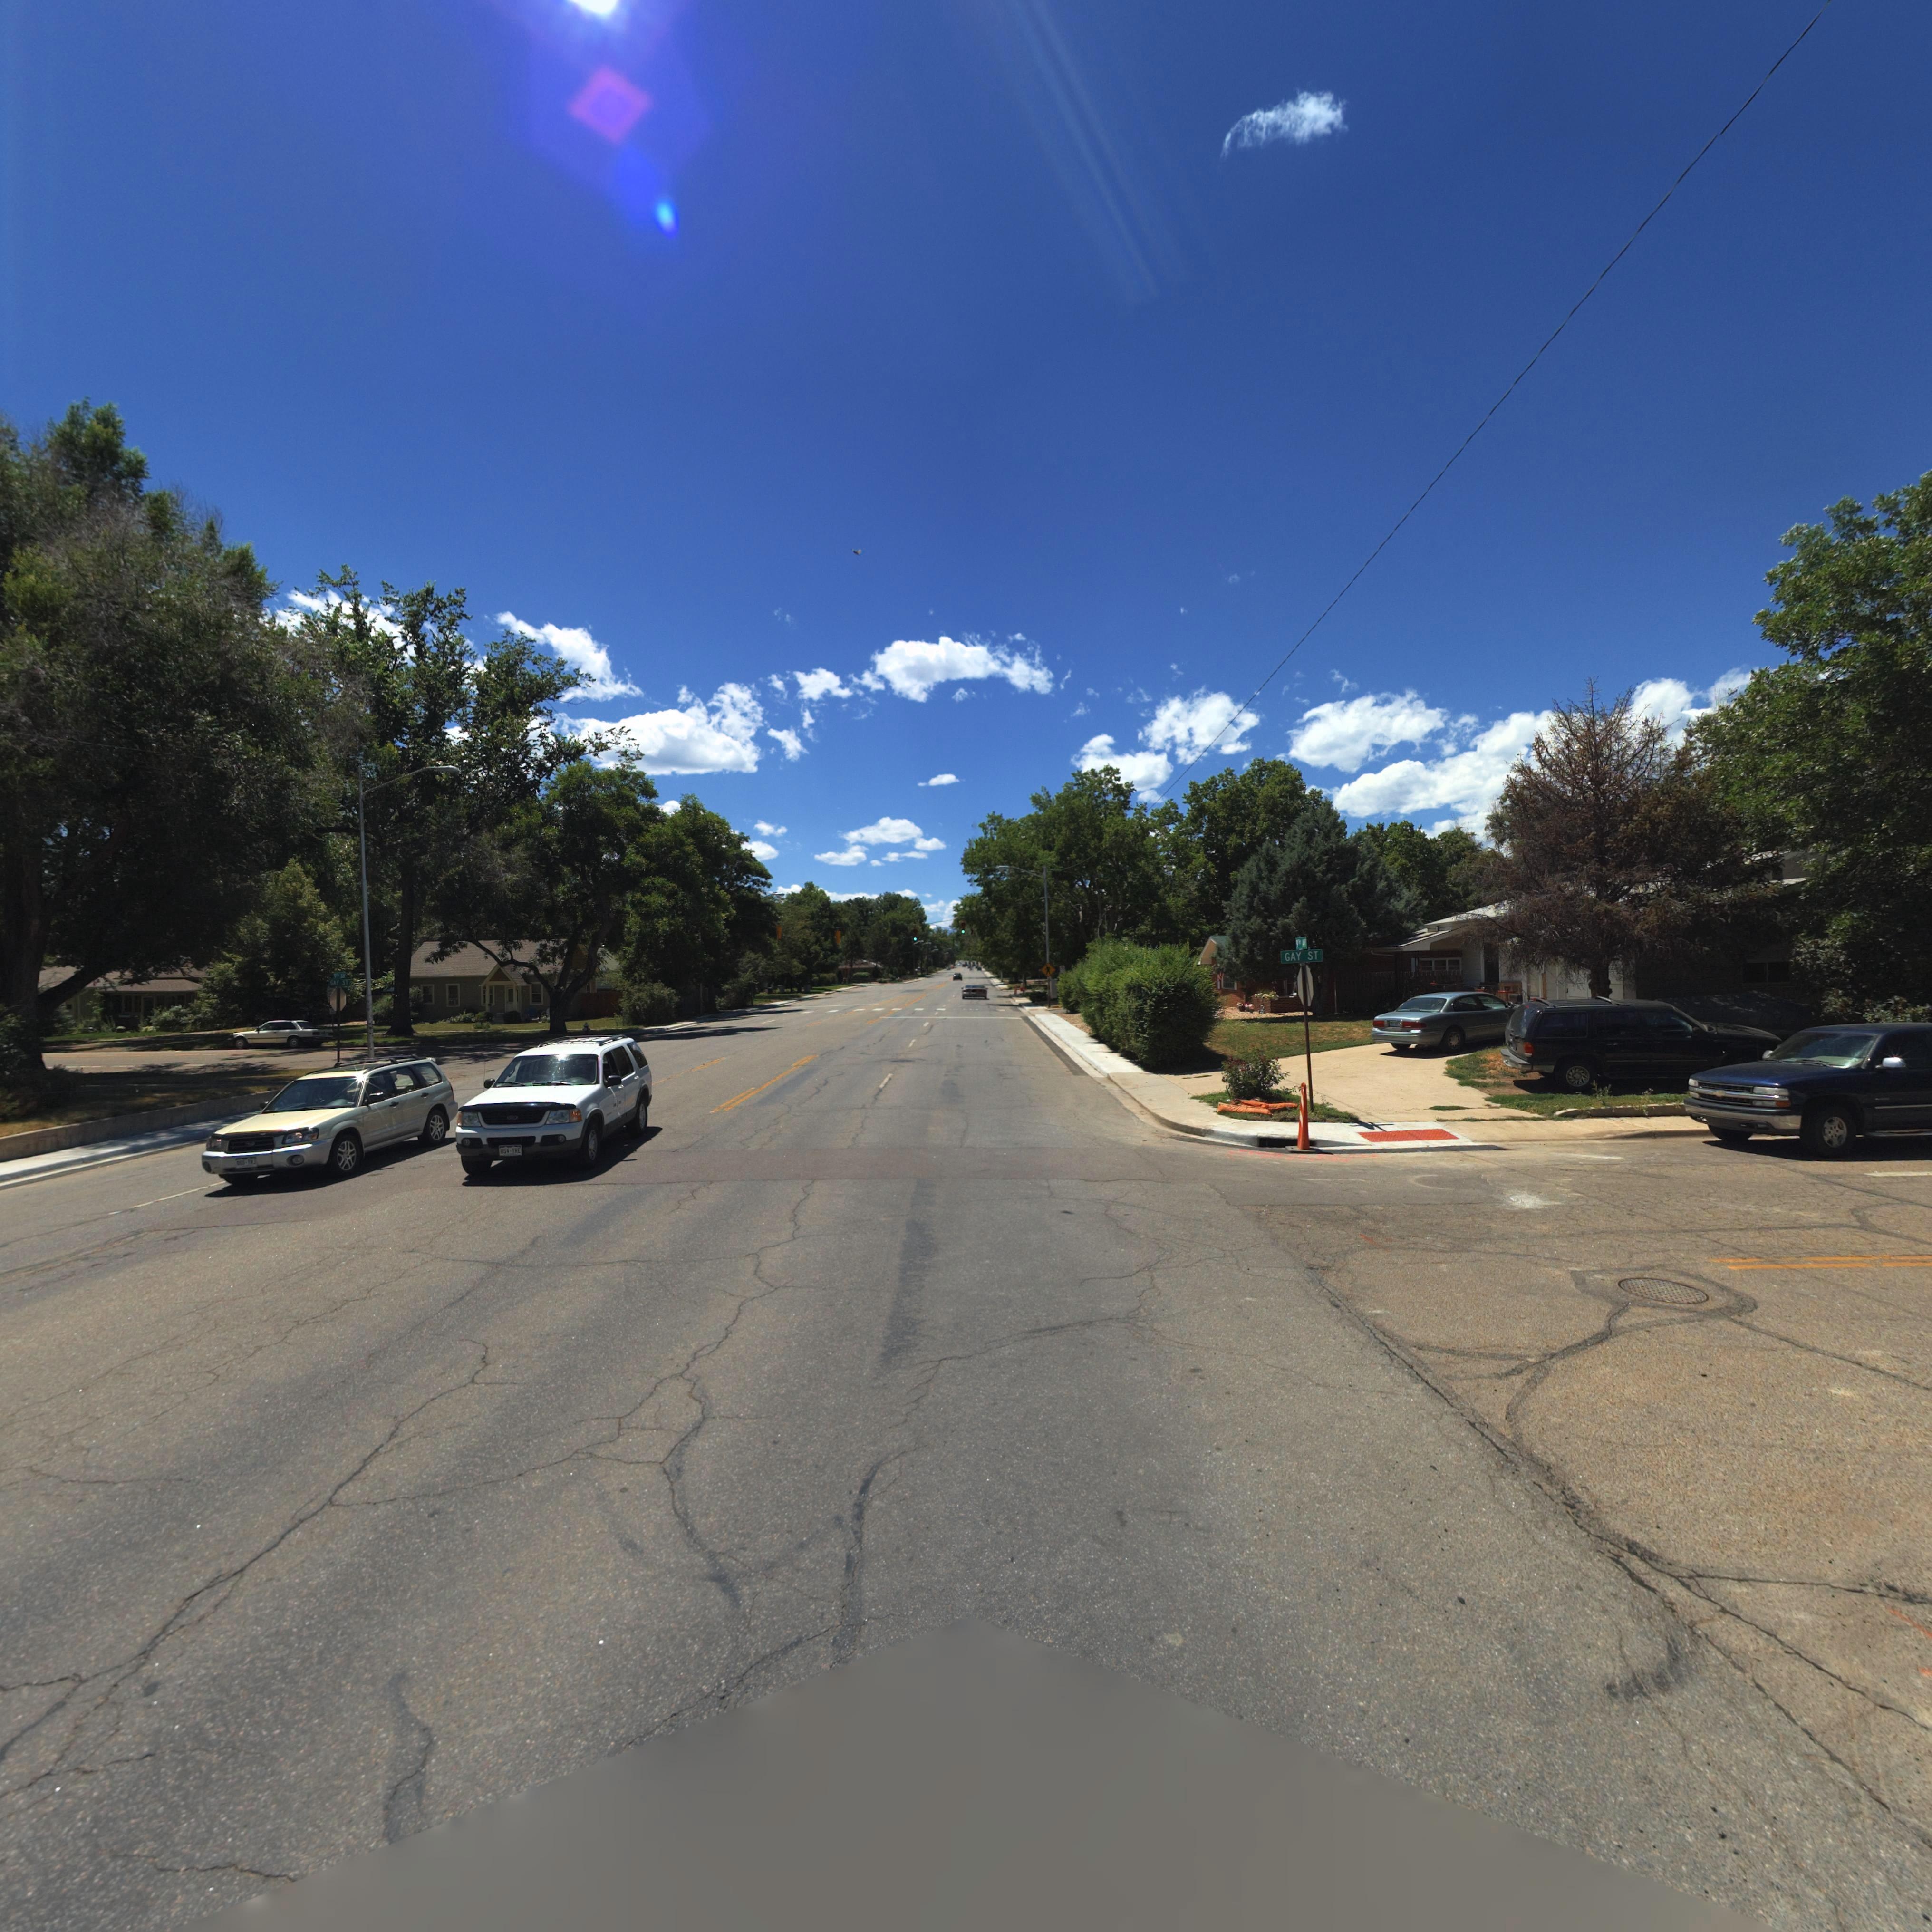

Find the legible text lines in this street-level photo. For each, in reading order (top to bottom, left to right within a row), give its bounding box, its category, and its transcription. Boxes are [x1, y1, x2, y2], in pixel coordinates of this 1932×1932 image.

[1295, 938, 1306, 948] StreetName: 9*H AV
[1284, 951, 1318, 962] StreetName: GAY ST
[333, 973, 345, 978] StreetName: 9** AV
[329, 980, 348, 985] StreetName: GAY ST